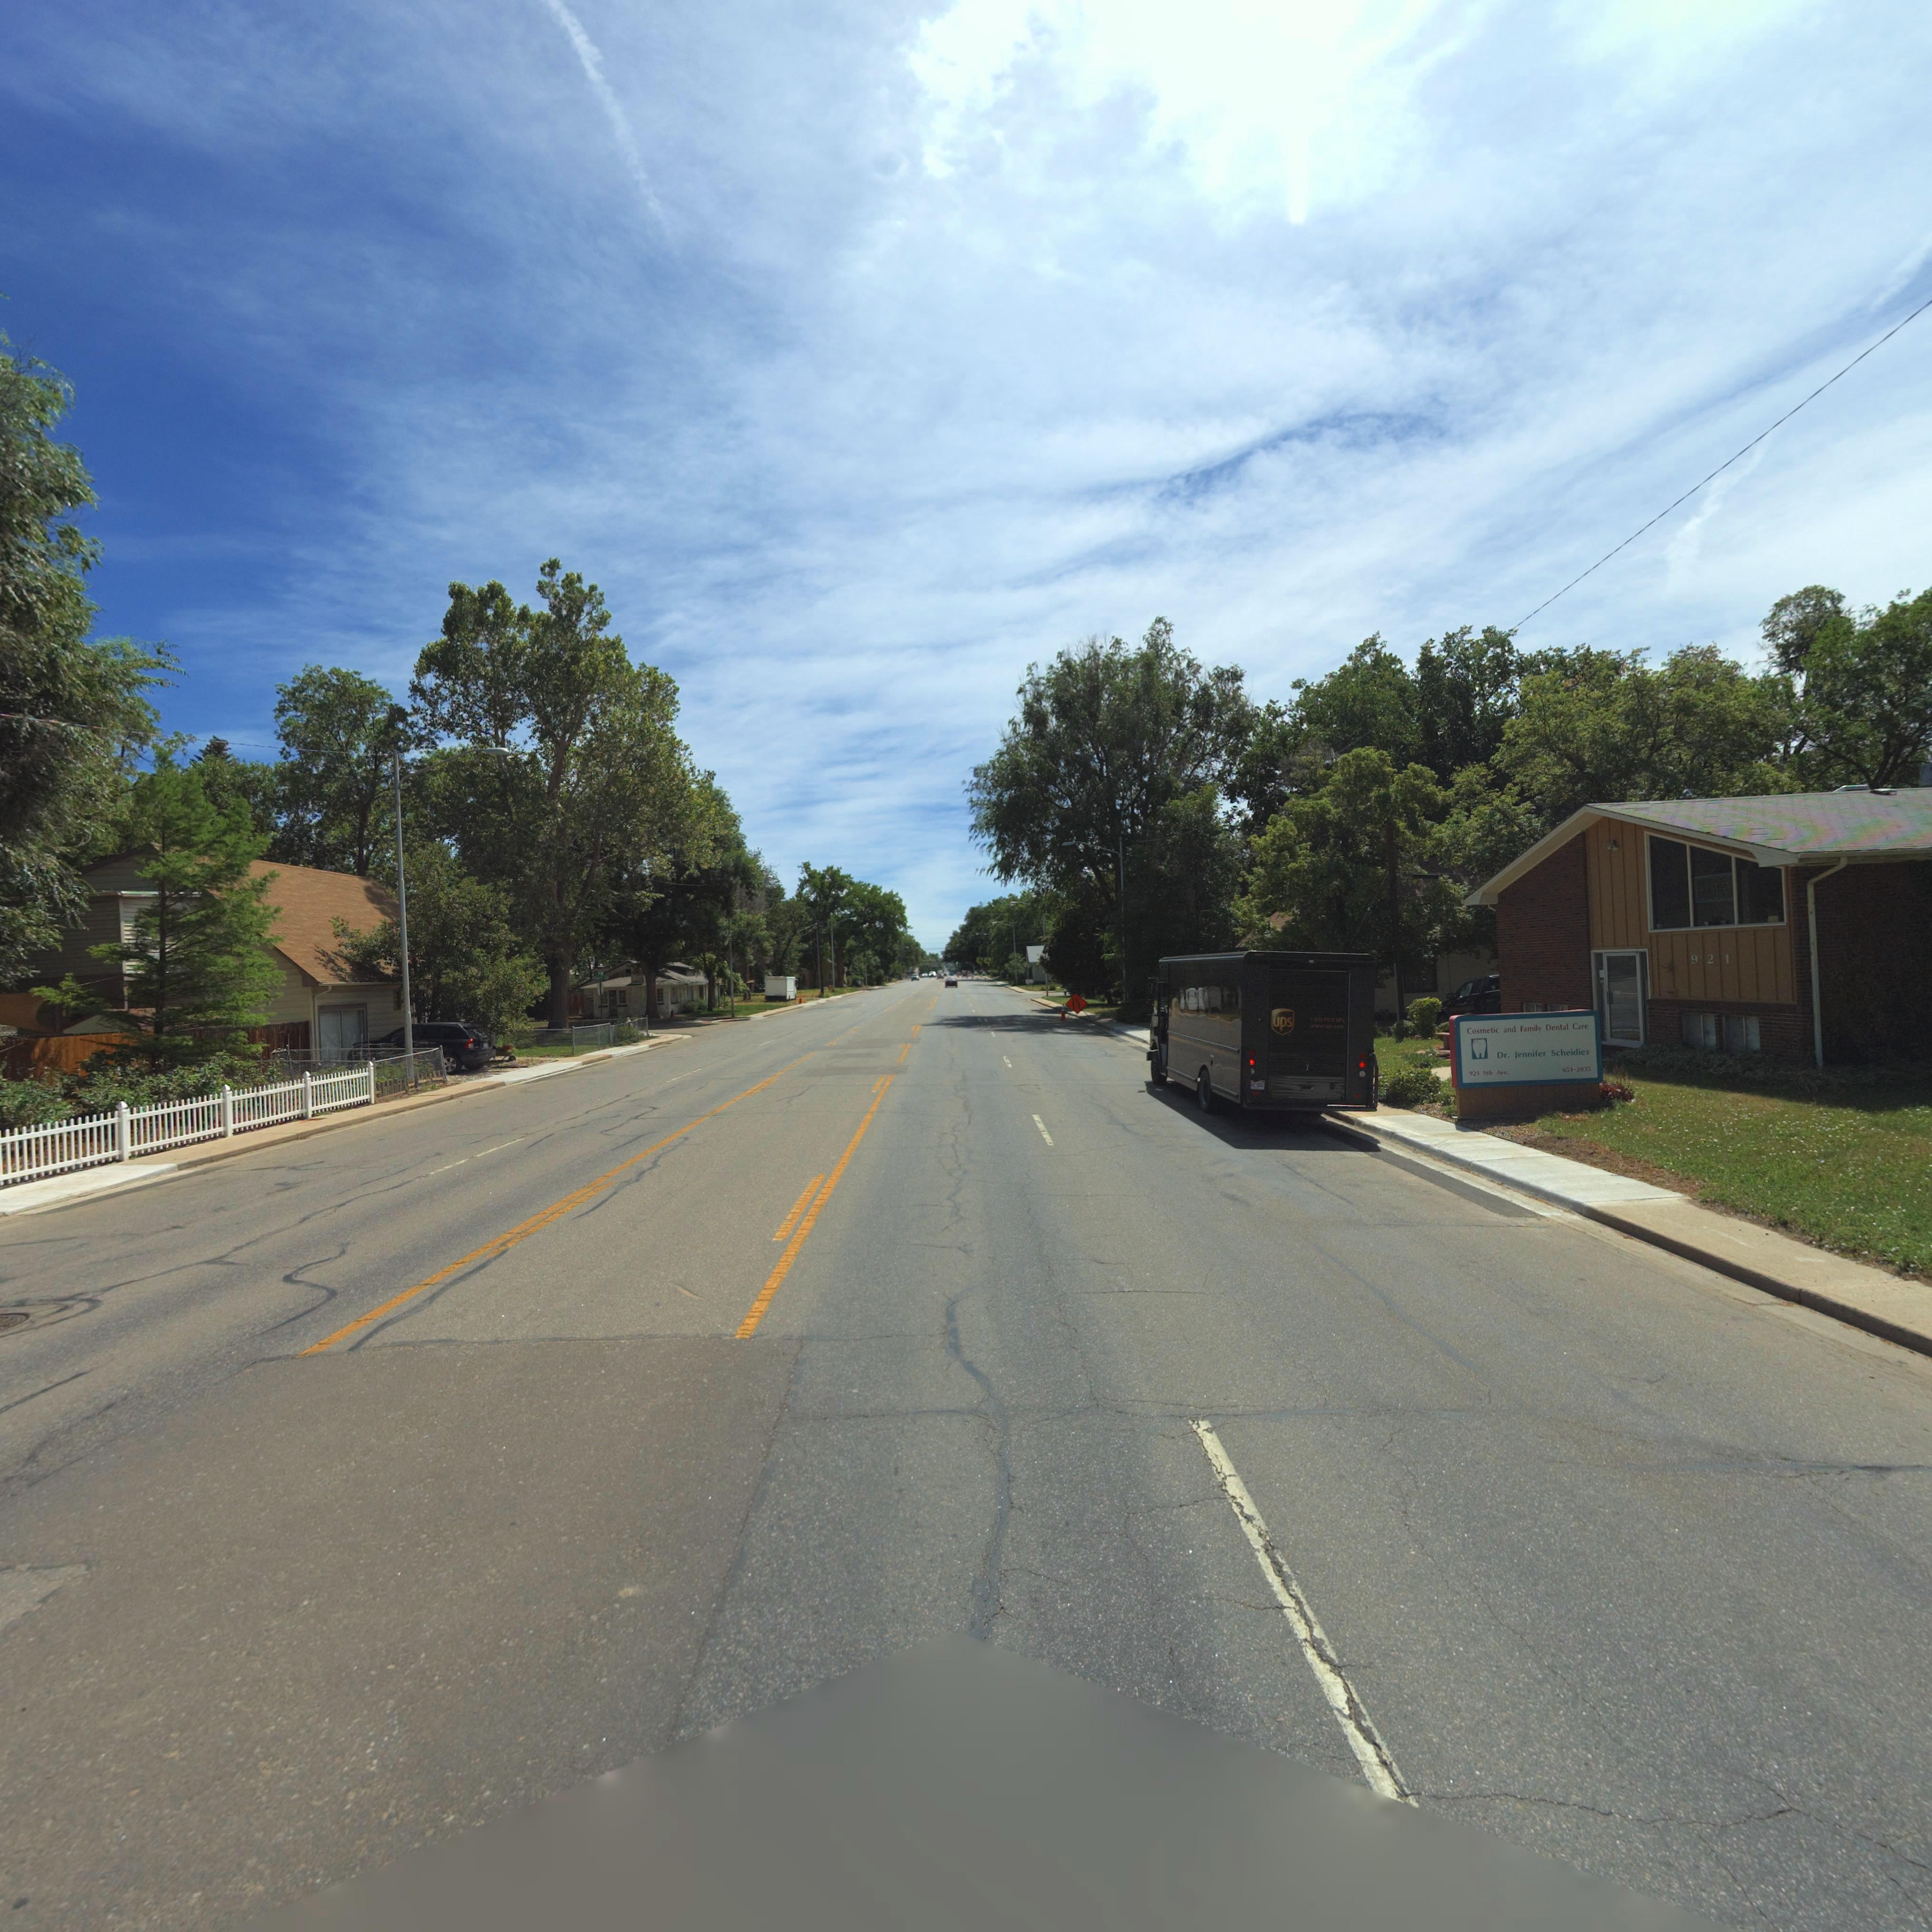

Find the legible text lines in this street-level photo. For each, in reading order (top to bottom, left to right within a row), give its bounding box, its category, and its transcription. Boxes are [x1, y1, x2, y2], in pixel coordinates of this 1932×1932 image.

[1689, 952, 1731, 965] StreetNumber: 921
[592, 976, 602, 979] BusinessName: P****
[1466, 1023, 1589, 1035] BusinessName: Cosmetic and Family Dental Care
[1469, 1070, 1480, 1077] StreetNumber: 921
[1482, 1069, 1509, 1076] StreetName: 9th Ave.